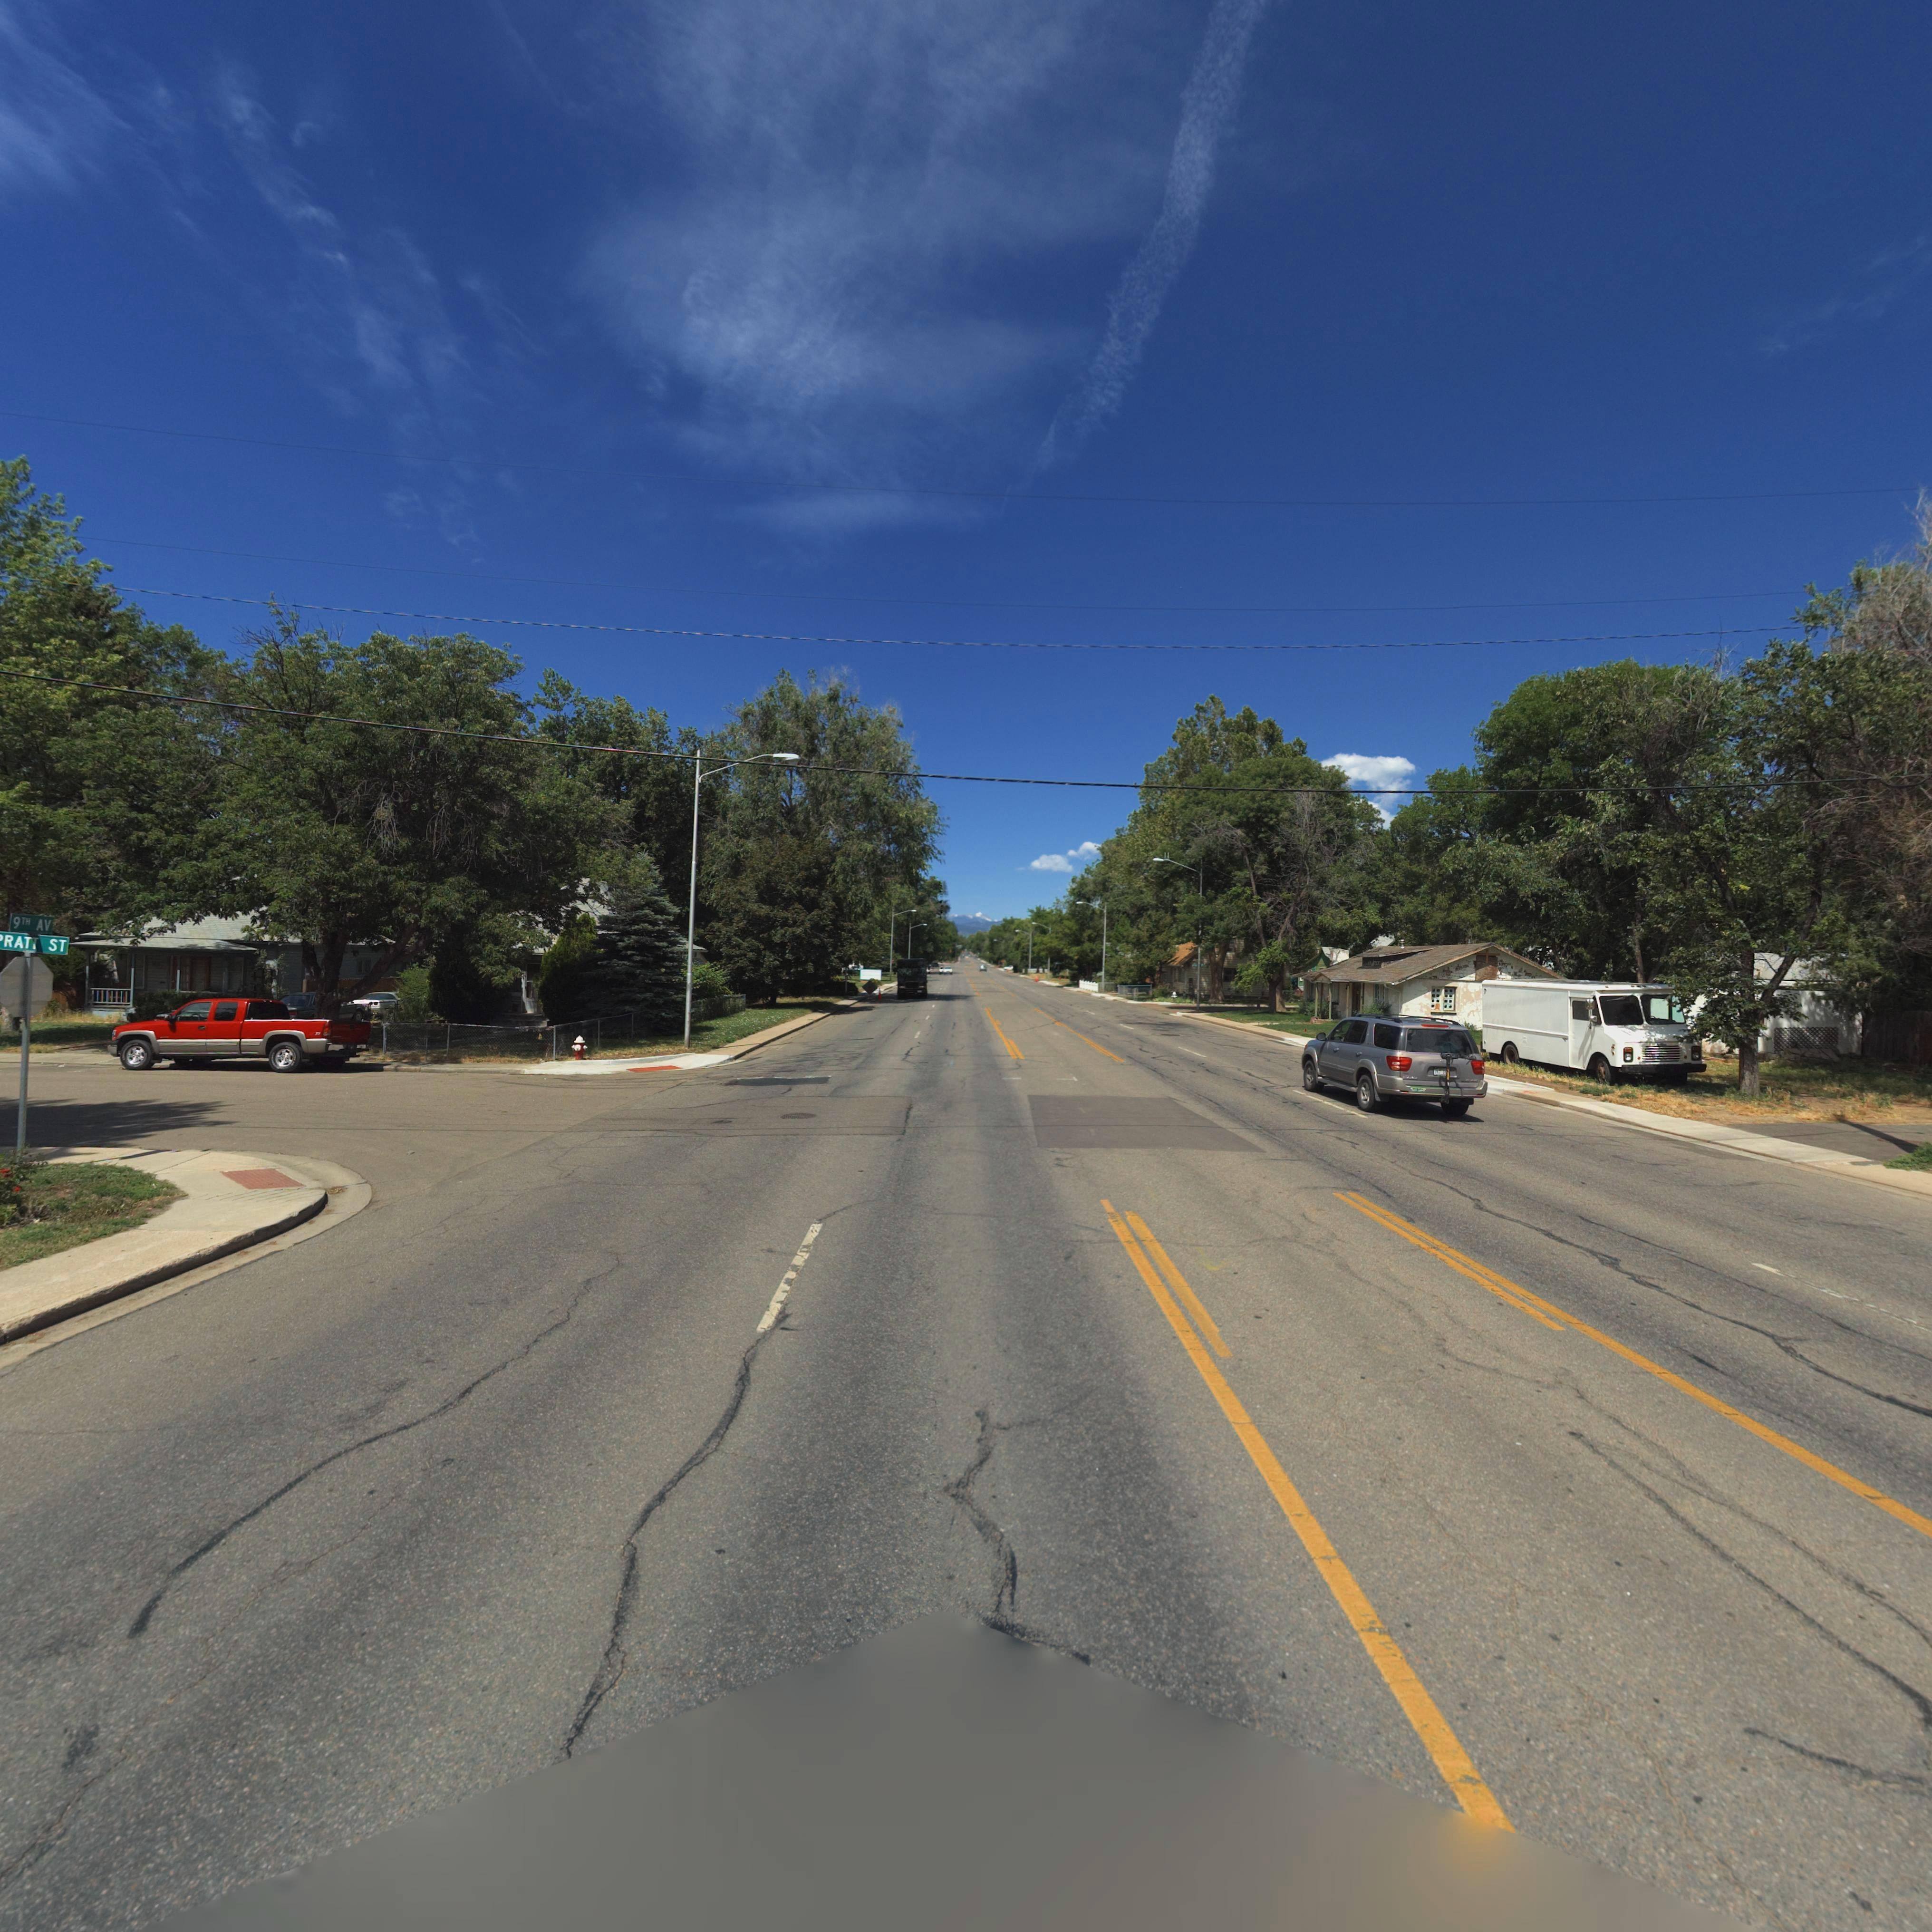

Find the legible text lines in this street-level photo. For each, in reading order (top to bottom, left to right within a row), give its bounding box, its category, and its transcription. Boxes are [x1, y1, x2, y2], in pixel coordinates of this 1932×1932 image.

[12, 916, 52, 931] StreetName: 9TH AV
[3, 934, 67, 952] StreetName: RATT ST